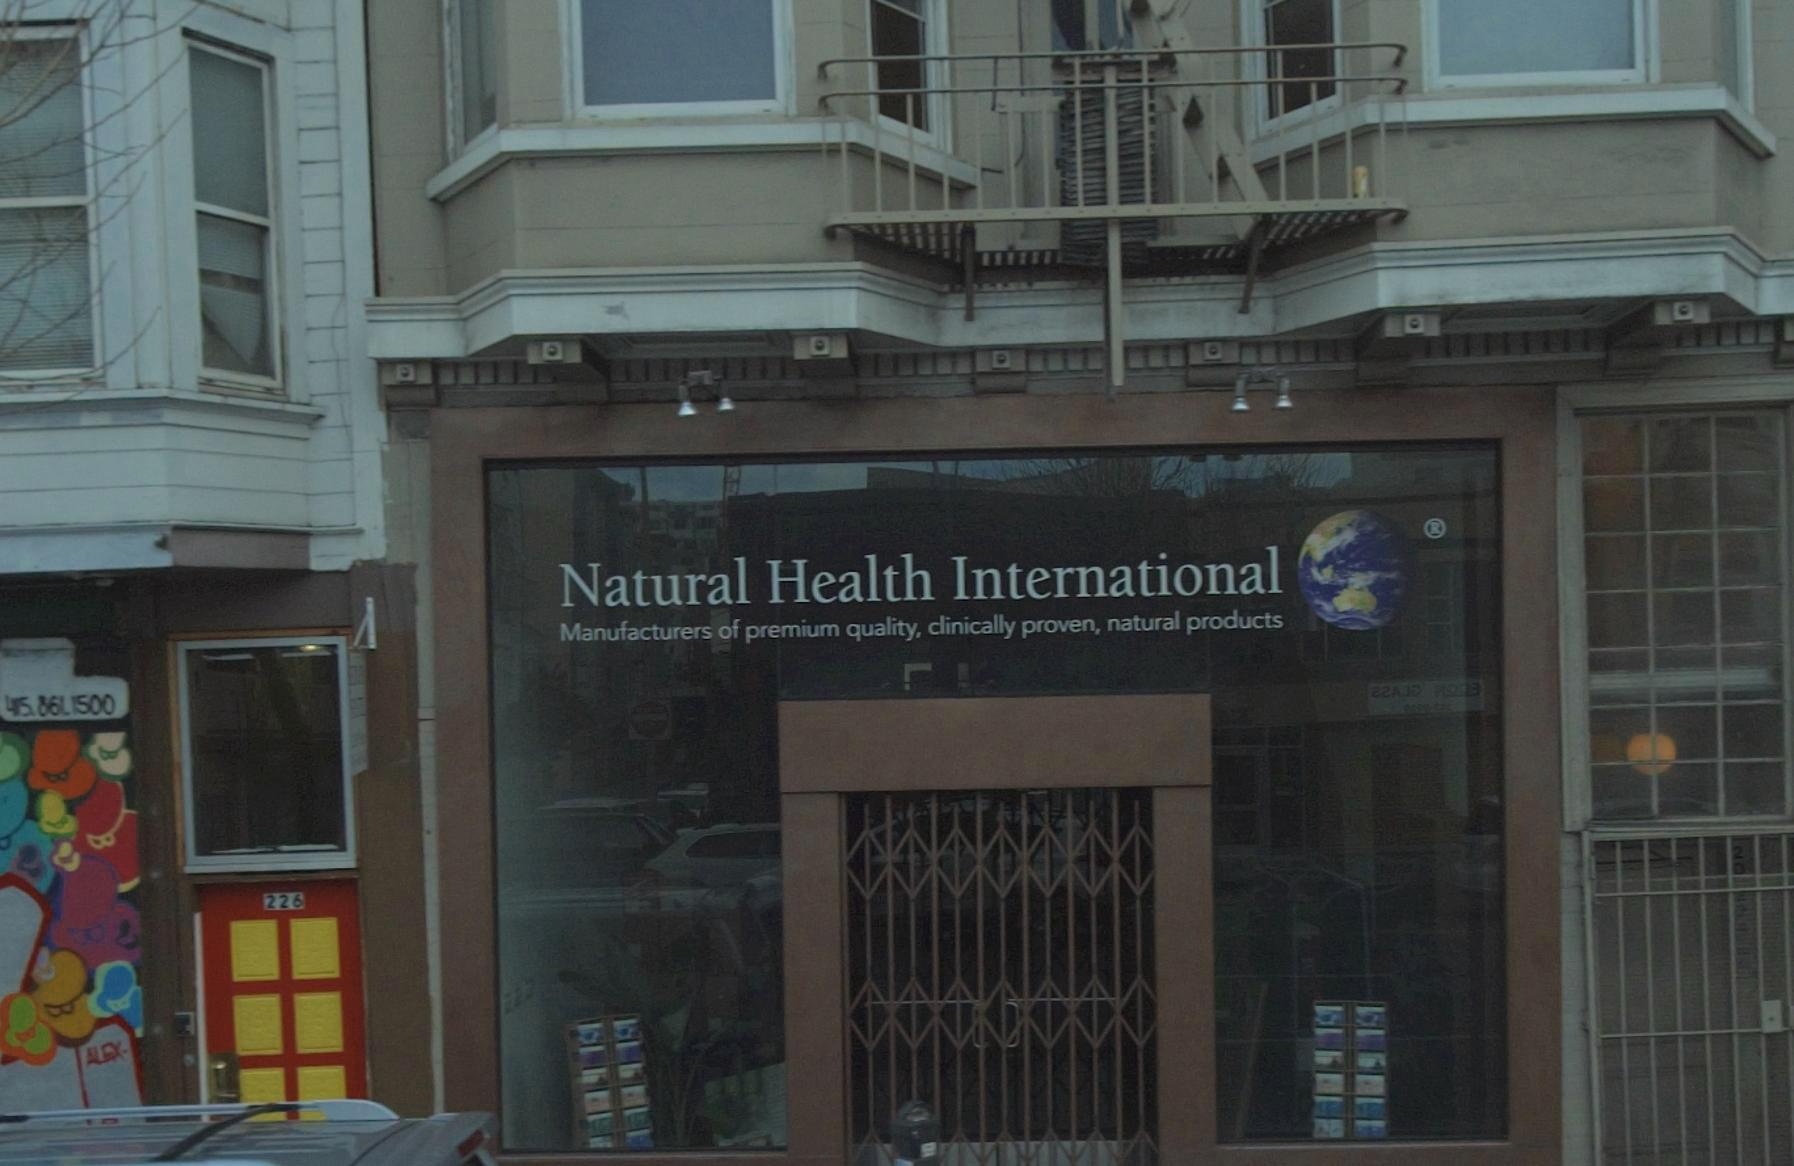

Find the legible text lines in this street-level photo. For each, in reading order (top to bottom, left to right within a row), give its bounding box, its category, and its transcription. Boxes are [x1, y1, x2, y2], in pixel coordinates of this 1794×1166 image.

[554, 540, 1288, 611] BusinessName: Natural Health International
[557, 607, 1287, 649] None: Manufactures of premium quality, clinically proven, natural products
[1, 689, 121, 721] None: 4*5.861.1500
[1369, 680, 1484, 702] None: **A** ****
[1730, 842, 1748, 877] StreetNumber: 20
[263, 891, 305, 911] StreetNumber: 226
[83, 1036, 131, 1073] None: ALEX.